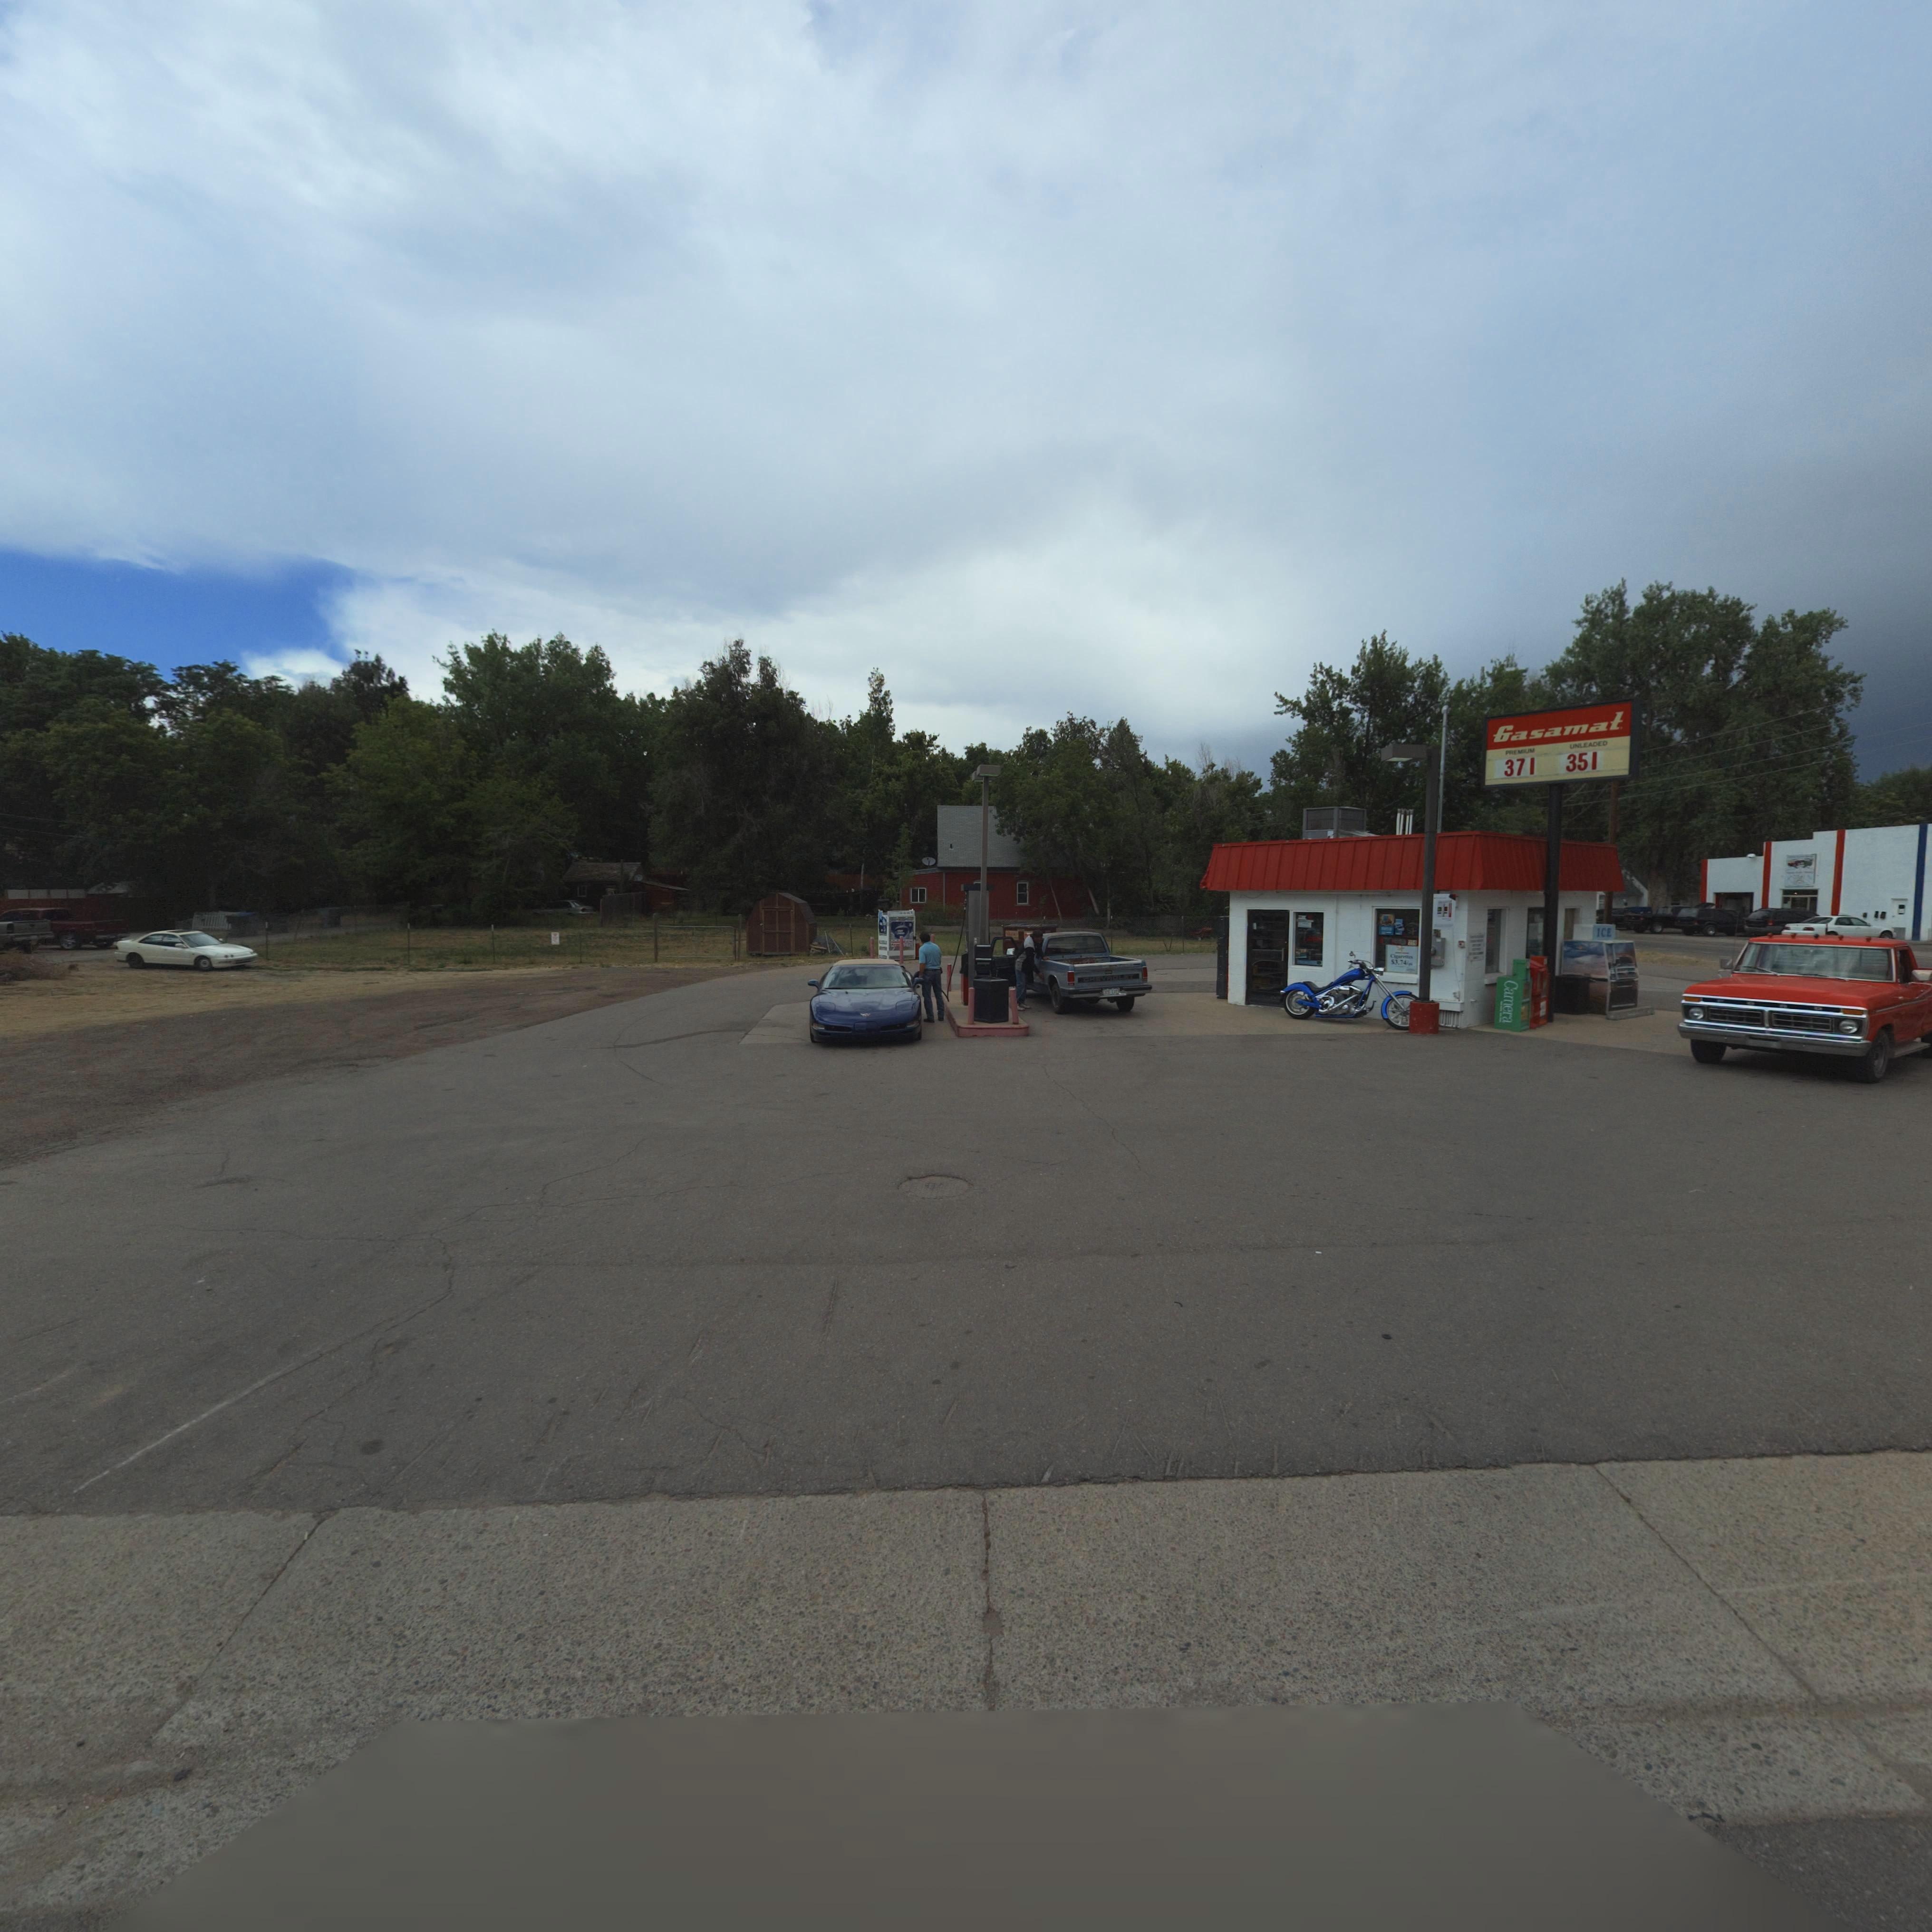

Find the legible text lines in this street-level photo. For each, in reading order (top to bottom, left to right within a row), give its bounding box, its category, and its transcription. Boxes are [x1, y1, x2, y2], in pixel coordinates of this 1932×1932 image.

[1492, 711, 1624, 743] BusinessName: Gasamat